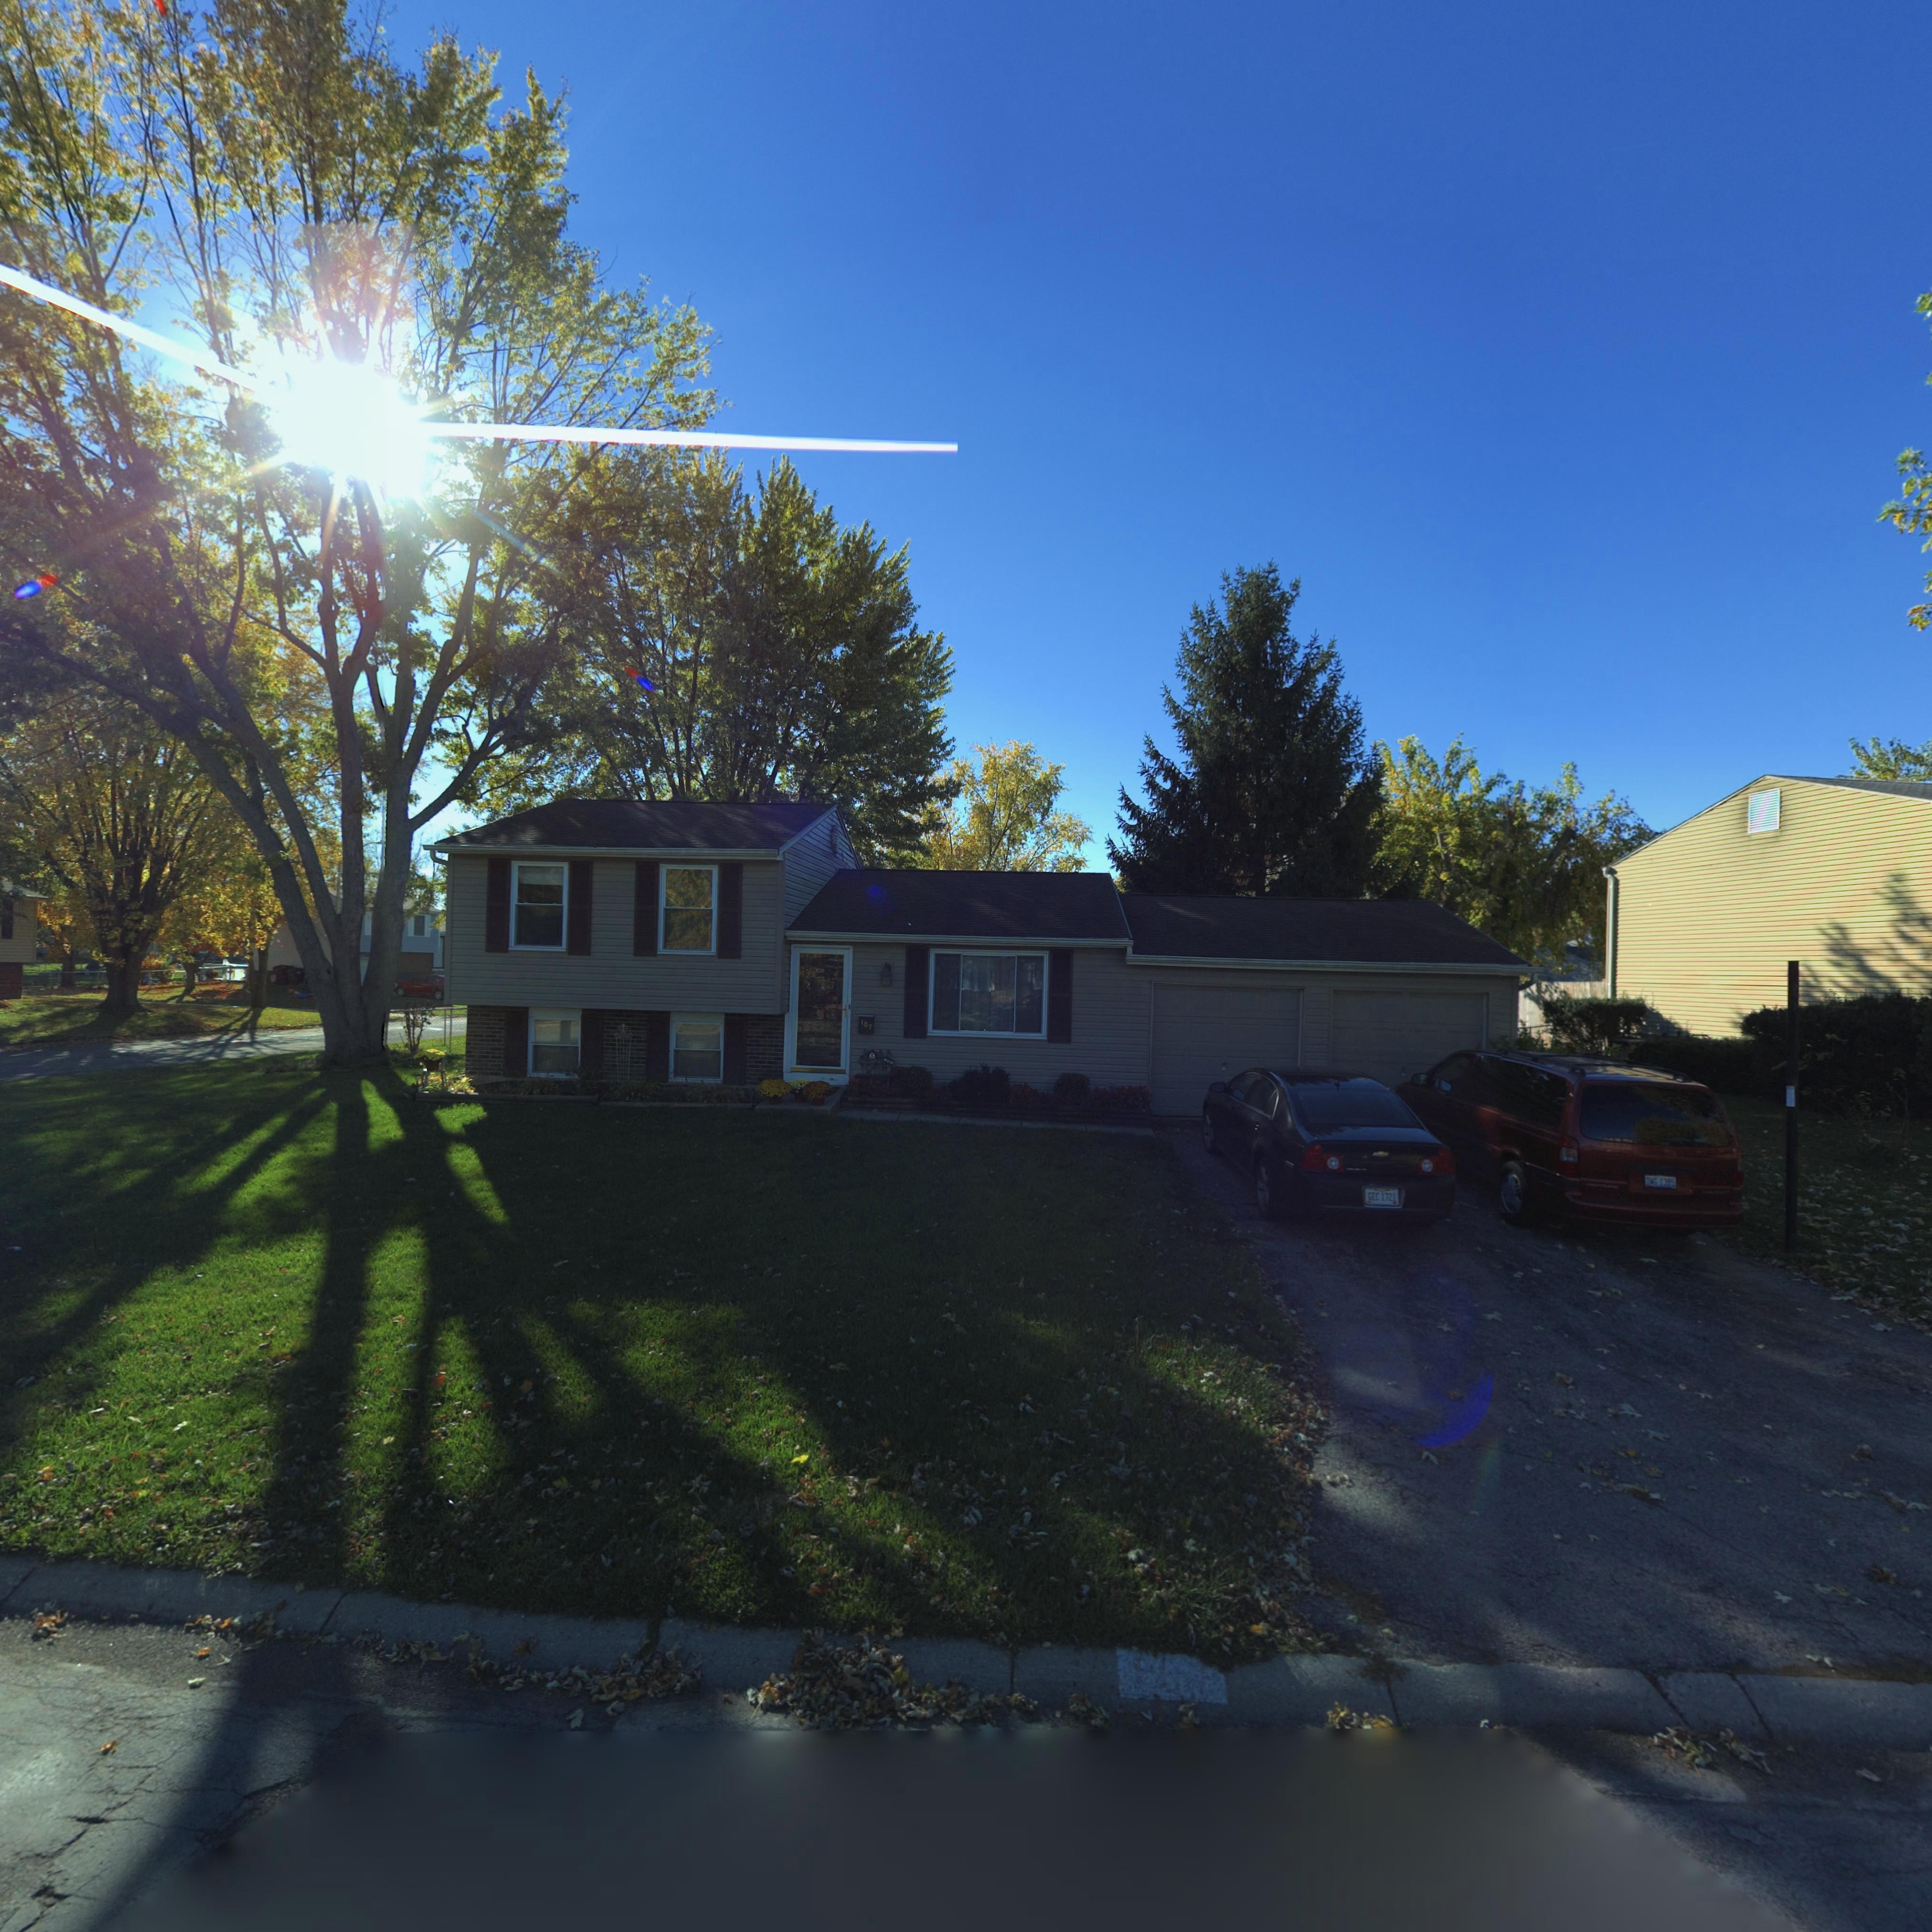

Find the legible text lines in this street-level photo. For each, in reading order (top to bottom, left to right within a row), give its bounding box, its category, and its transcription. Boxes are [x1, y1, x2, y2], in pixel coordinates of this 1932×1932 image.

[860, 1019, 873, 1030] StreetNumber: 107
[1130, 1654, 1186, 1695] StreetNumber: 10